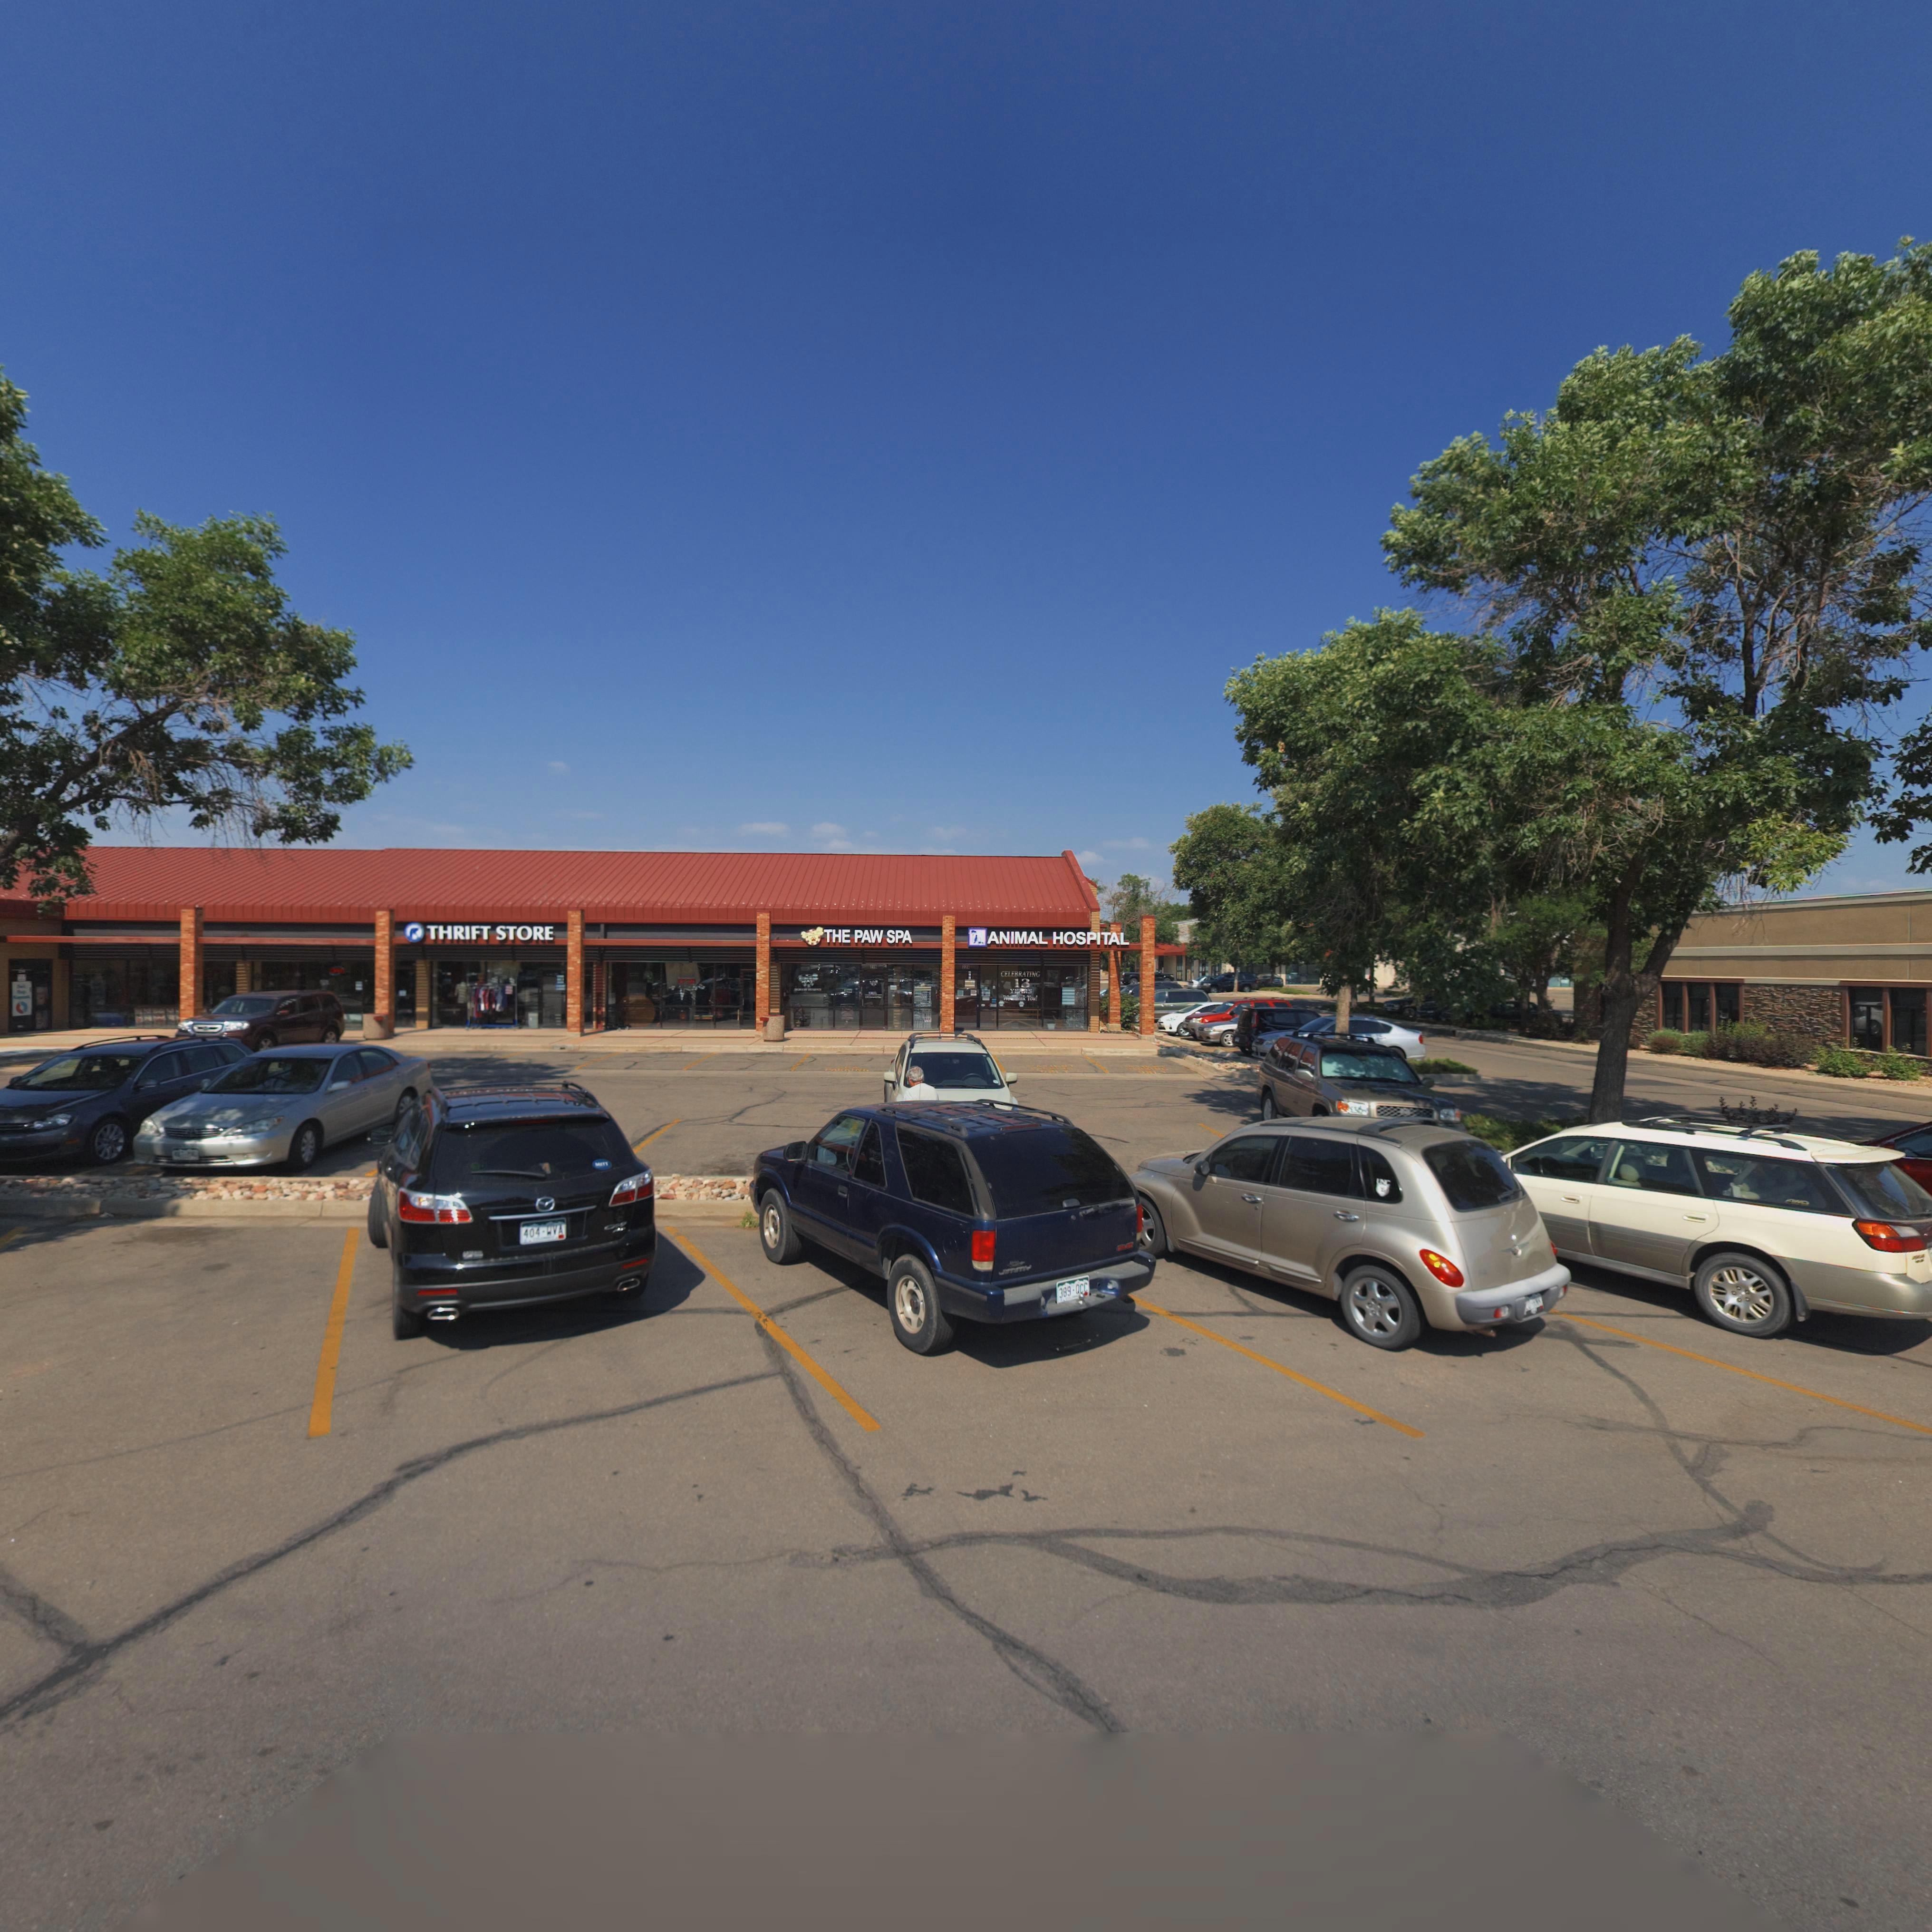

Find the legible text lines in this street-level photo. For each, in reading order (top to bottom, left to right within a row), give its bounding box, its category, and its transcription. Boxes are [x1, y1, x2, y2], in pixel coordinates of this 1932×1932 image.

[823, 928, 913, 943] BusinessName: THE PAW SPA
[870, 965, 876, 969] StreetNumber: 21*
[962, 965, 969, 968] StreetNumber: 220